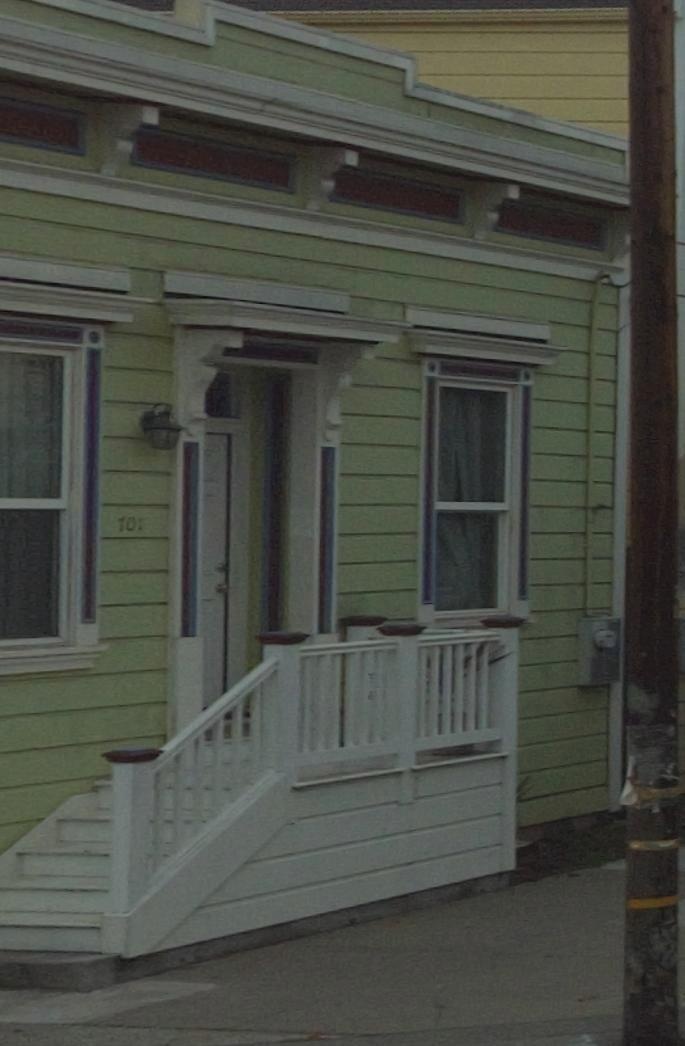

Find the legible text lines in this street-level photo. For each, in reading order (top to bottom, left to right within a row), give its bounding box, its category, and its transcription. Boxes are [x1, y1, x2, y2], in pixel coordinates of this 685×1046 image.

[117, 515, 145, 533] StreetNumber: 701